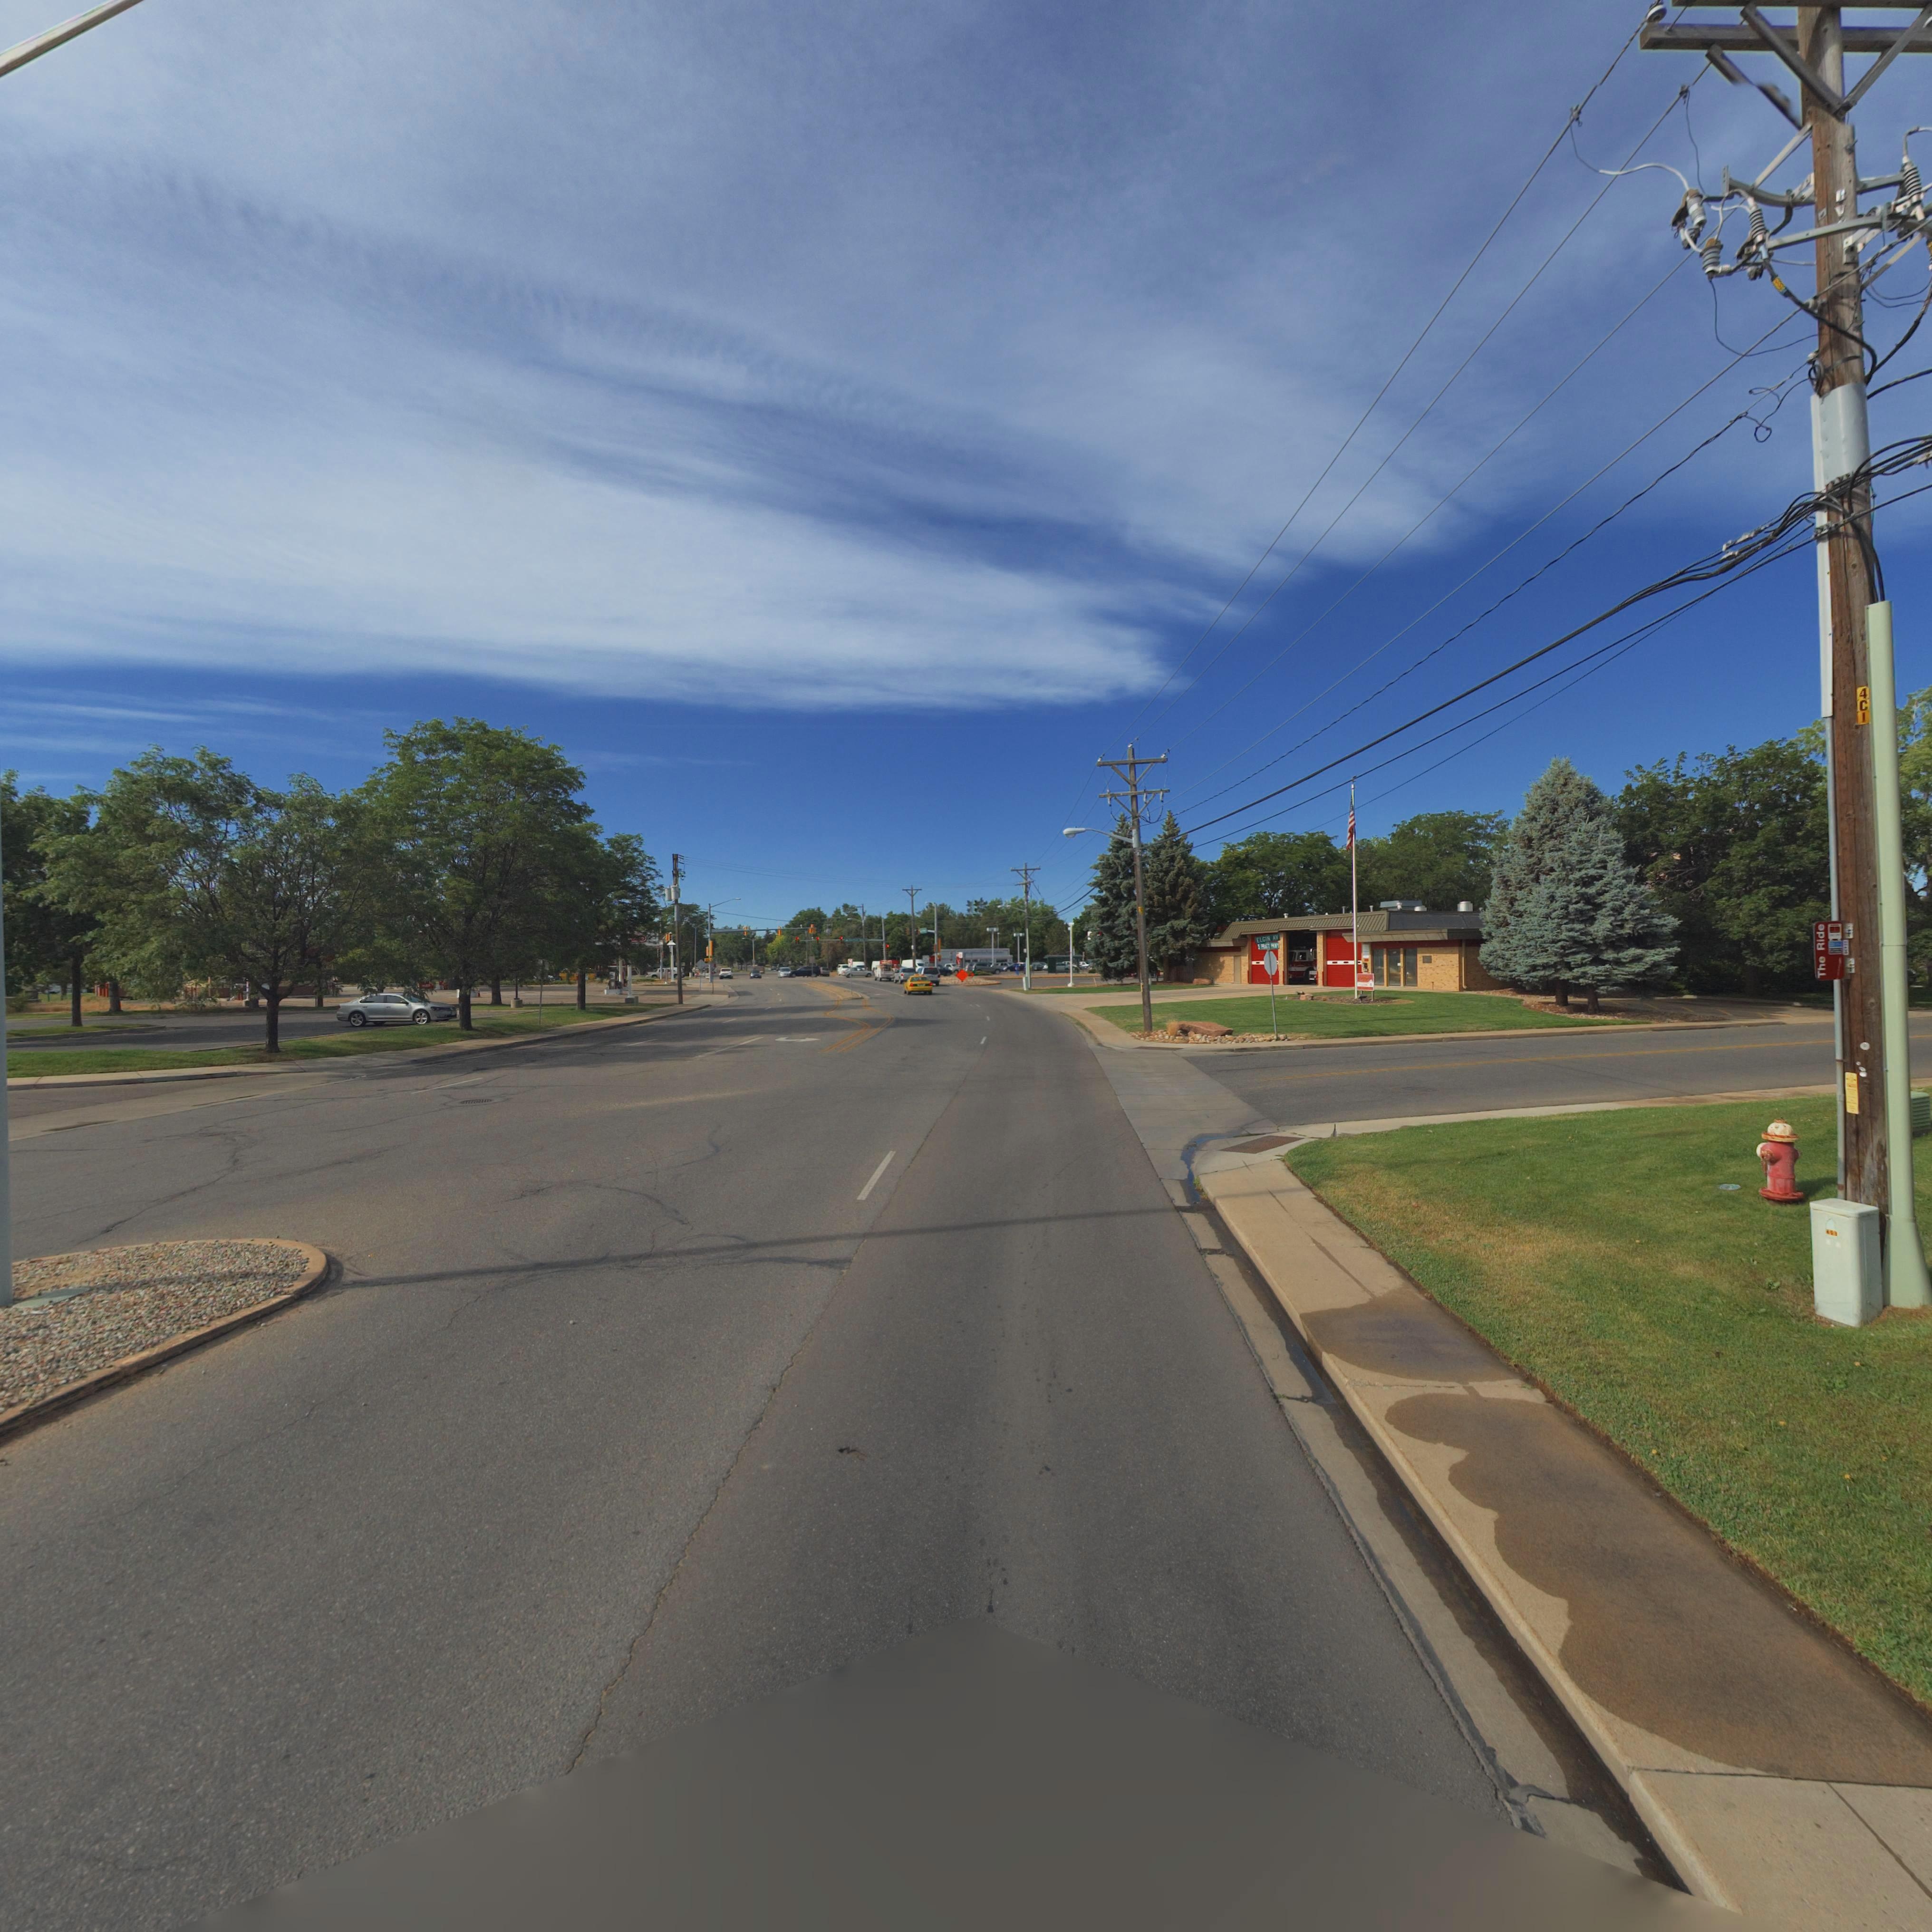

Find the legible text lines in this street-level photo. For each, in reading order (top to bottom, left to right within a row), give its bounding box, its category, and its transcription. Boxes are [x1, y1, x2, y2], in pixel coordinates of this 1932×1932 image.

[627, 936, 645, 940] BusinessName: ****O
[1256, 934, 1279, 943] StreetName: ELGIN AV
[1257, 943, 1279, 949] StreetName: S PRA*T P**Y